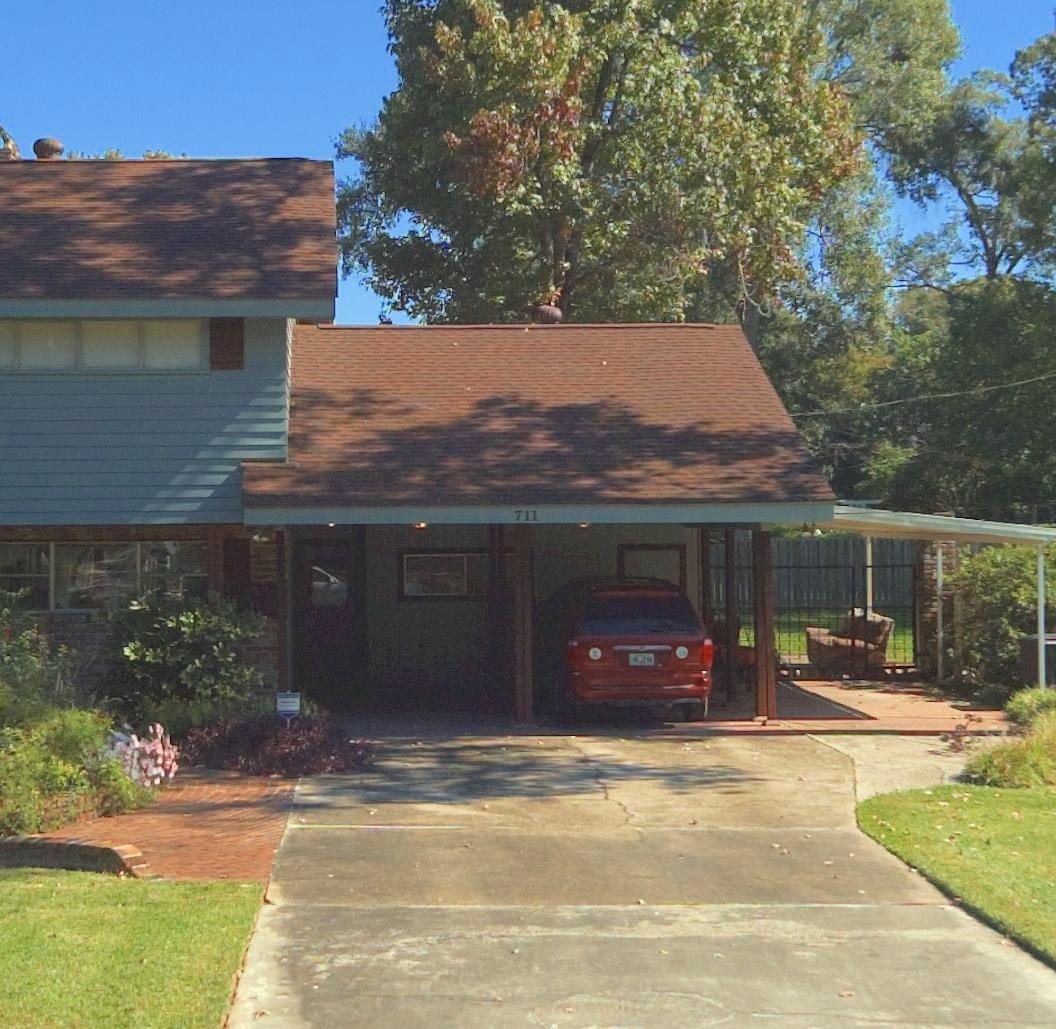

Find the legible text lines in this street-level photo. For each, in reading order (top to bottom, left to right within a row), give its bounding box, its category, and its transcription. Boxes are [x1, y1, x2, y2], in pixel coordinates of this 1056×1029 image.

[512, 508, 540, 523] StreetNumber: 711